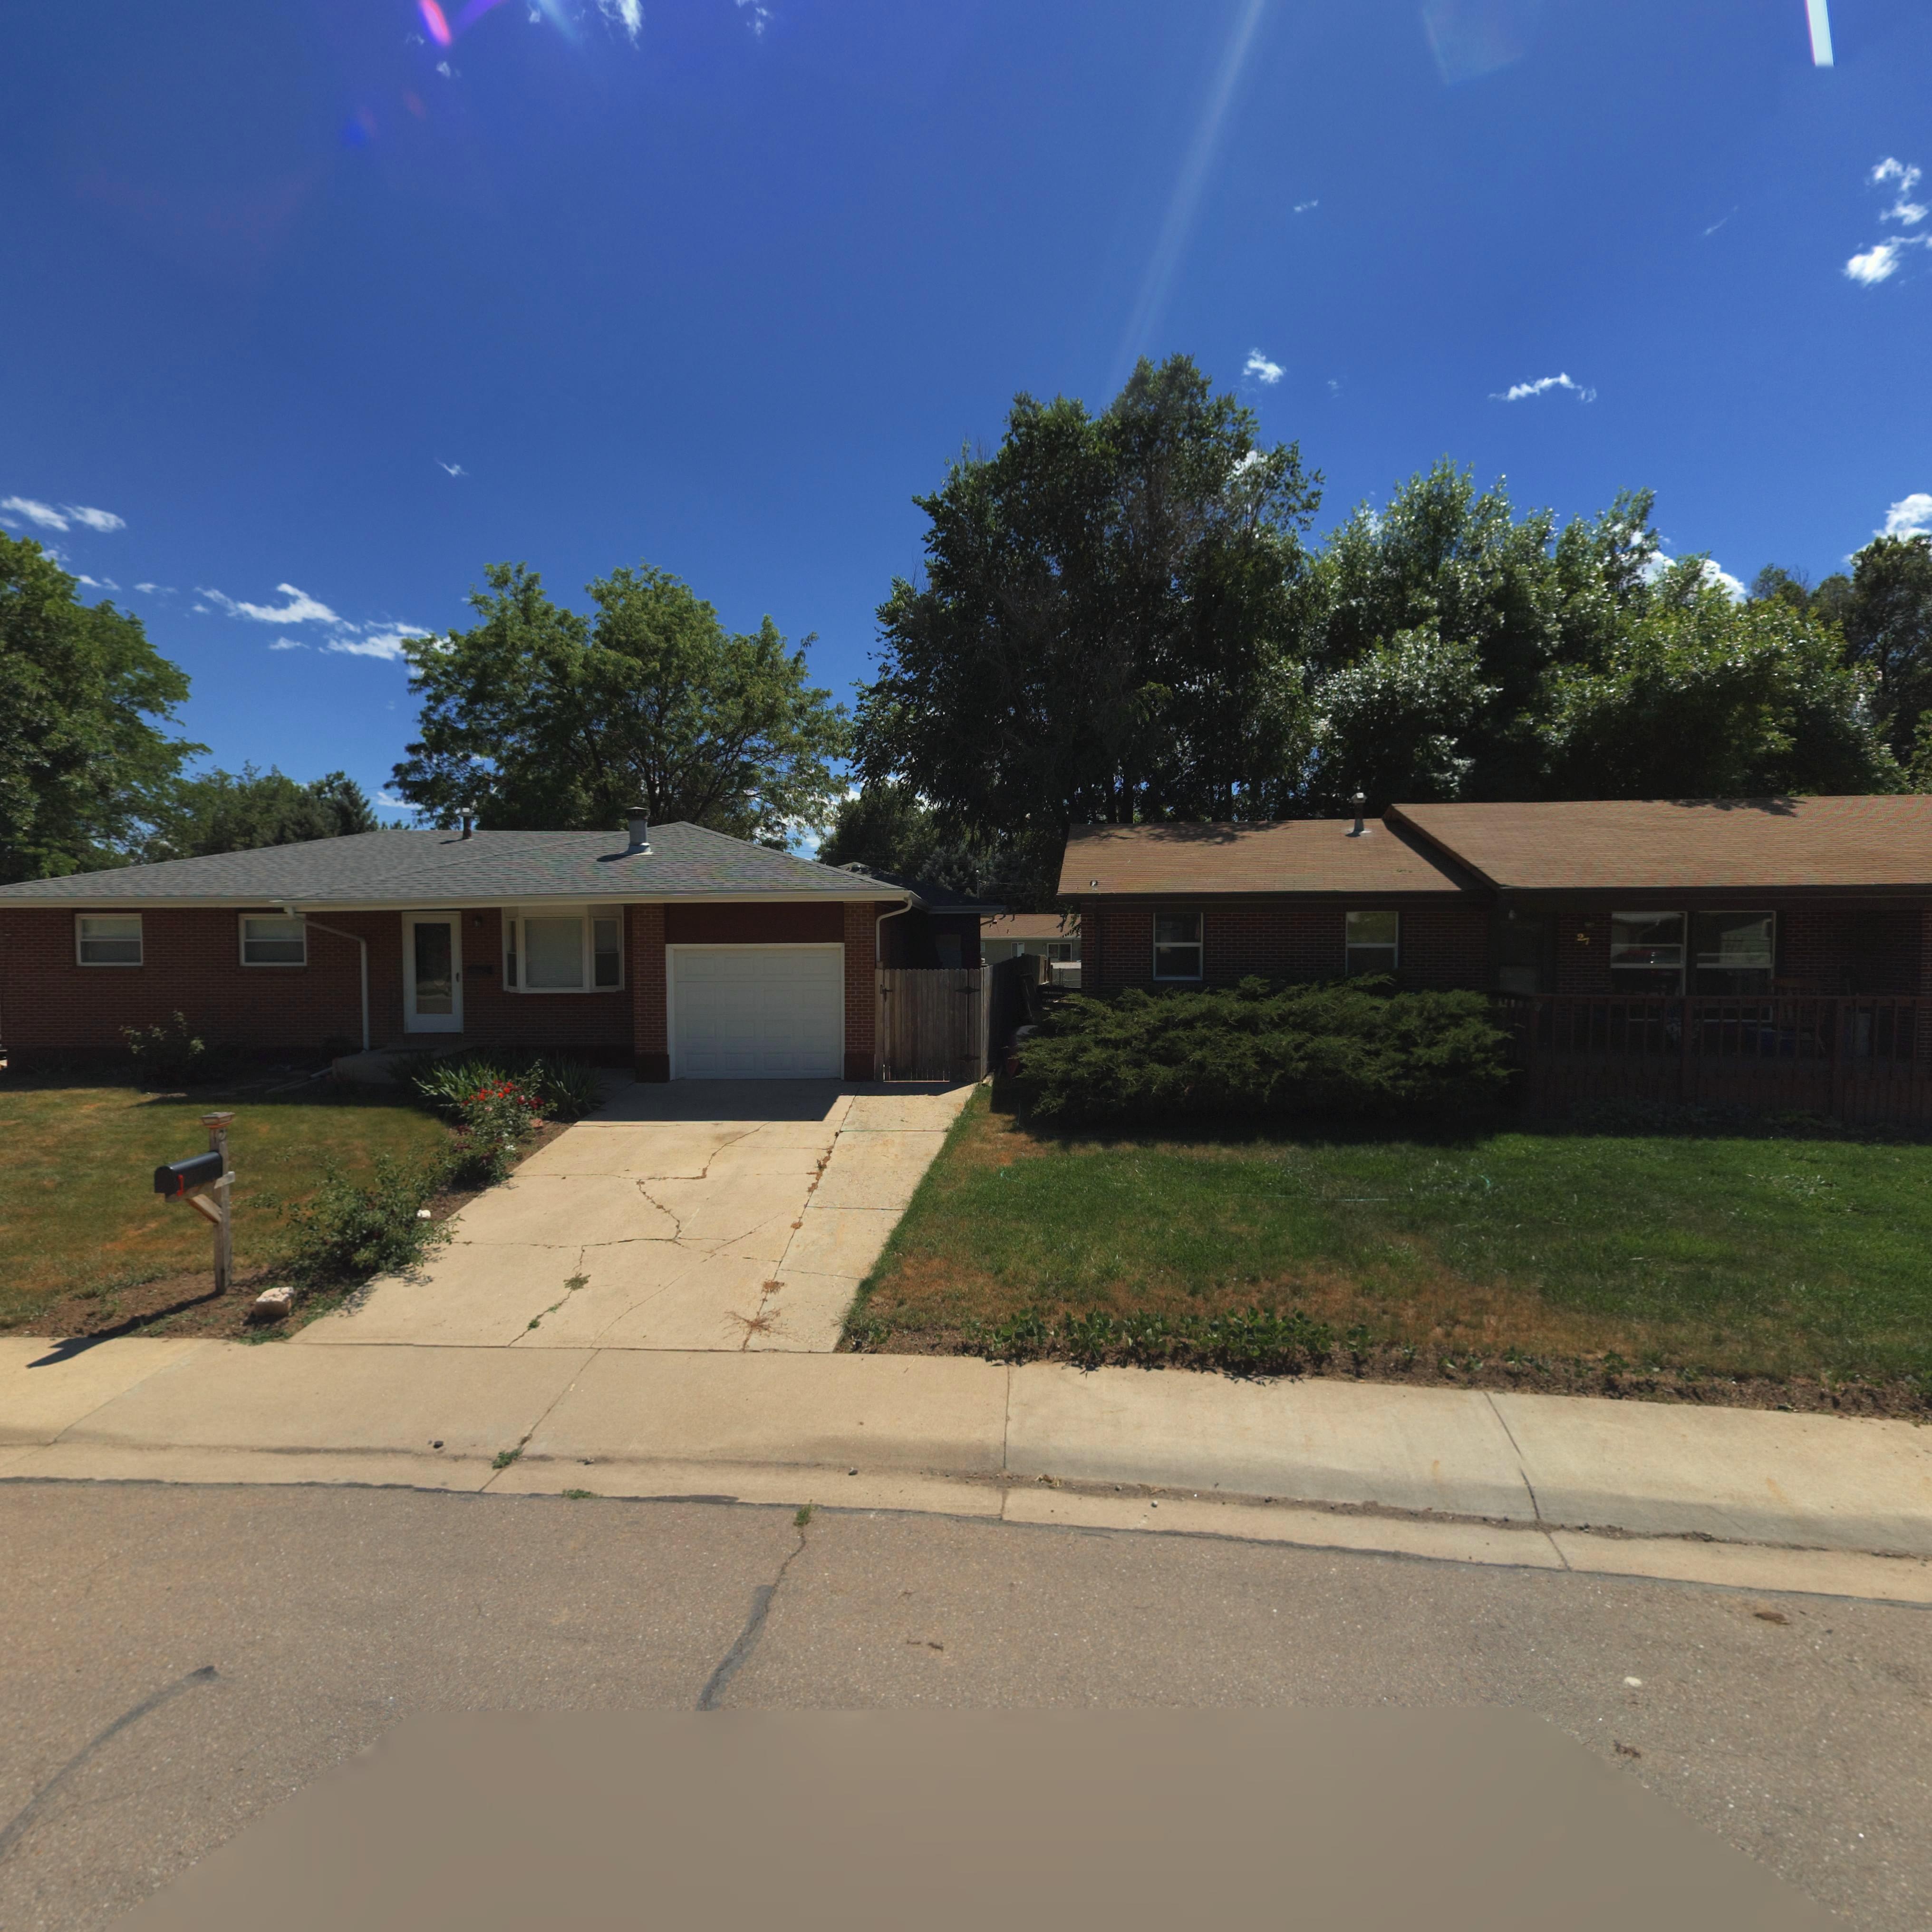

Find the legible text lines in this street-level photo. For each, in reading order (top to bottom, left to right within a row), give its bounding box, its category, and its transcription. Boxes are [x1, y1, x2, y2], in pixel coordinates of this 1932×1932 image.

[1576, 932, 1590, 946] StreetNumber: 27
[218, 1128, 227, 1143] StreetNumber: 2